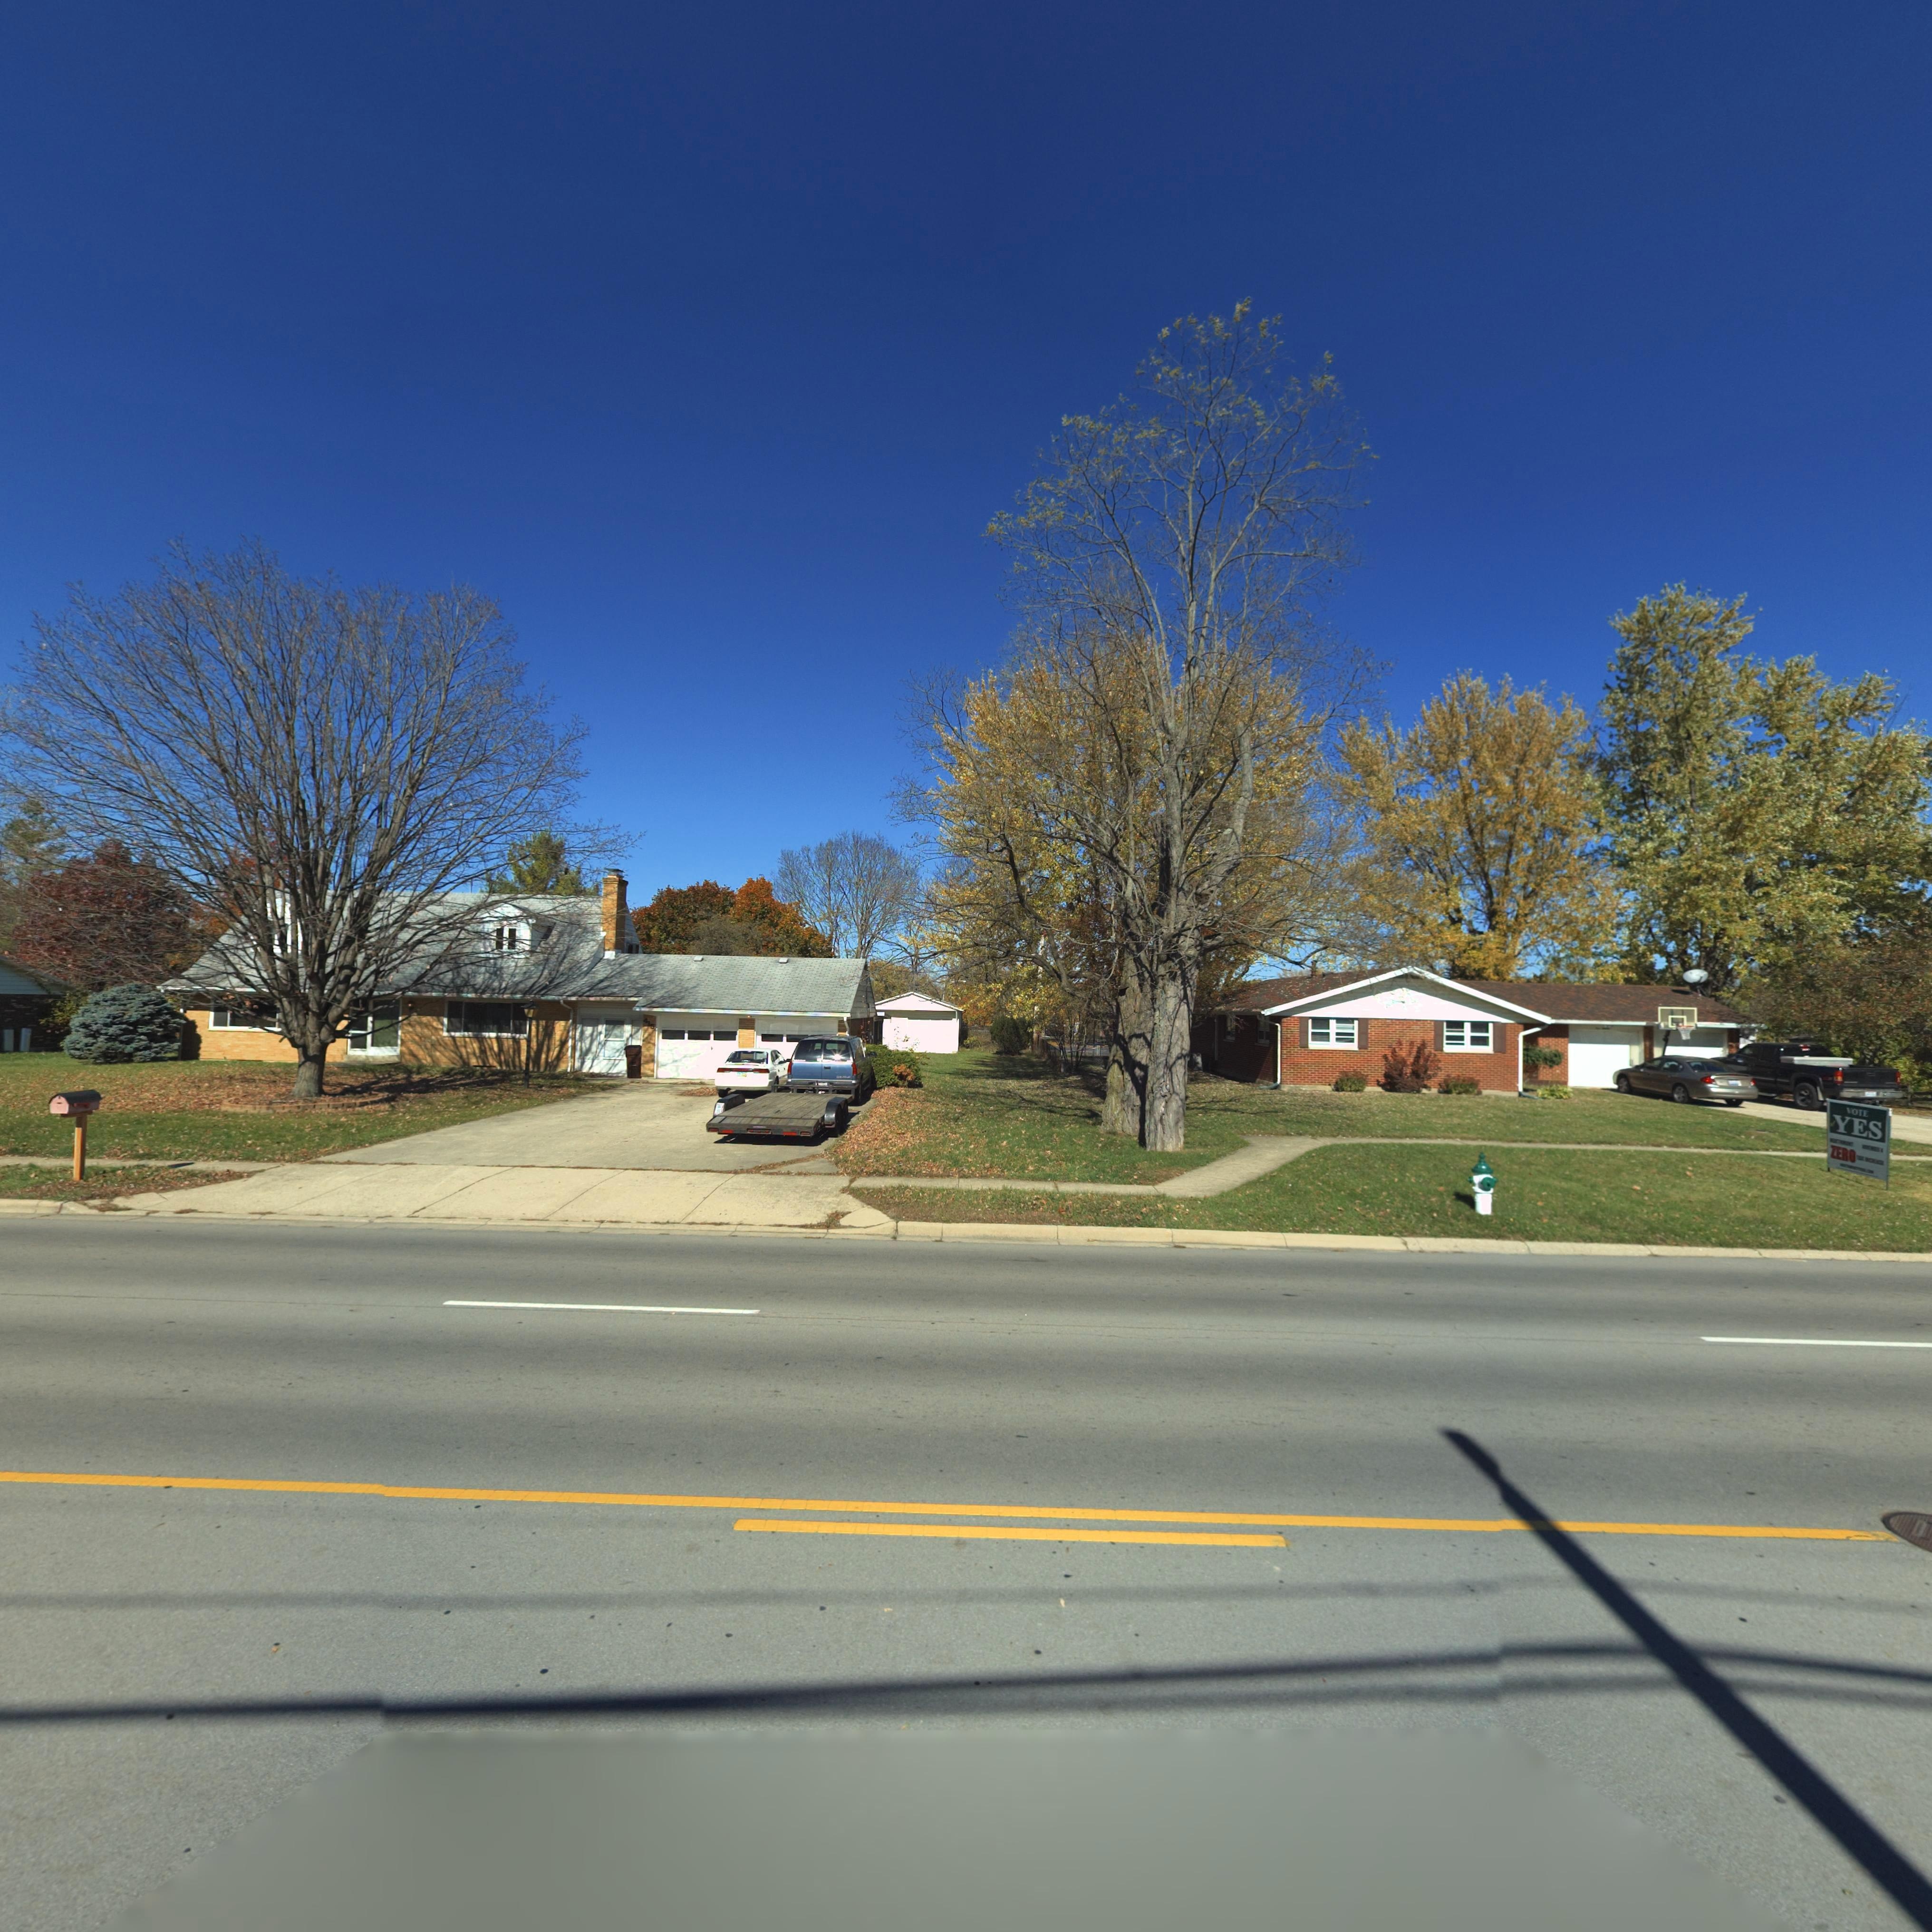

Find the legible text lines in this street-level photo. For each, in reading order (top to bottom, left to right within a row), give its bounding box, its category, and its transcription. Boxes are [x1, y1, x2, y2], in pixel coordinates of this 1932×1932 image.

[642, 1016, 656, 1030] StreetNumber: 415